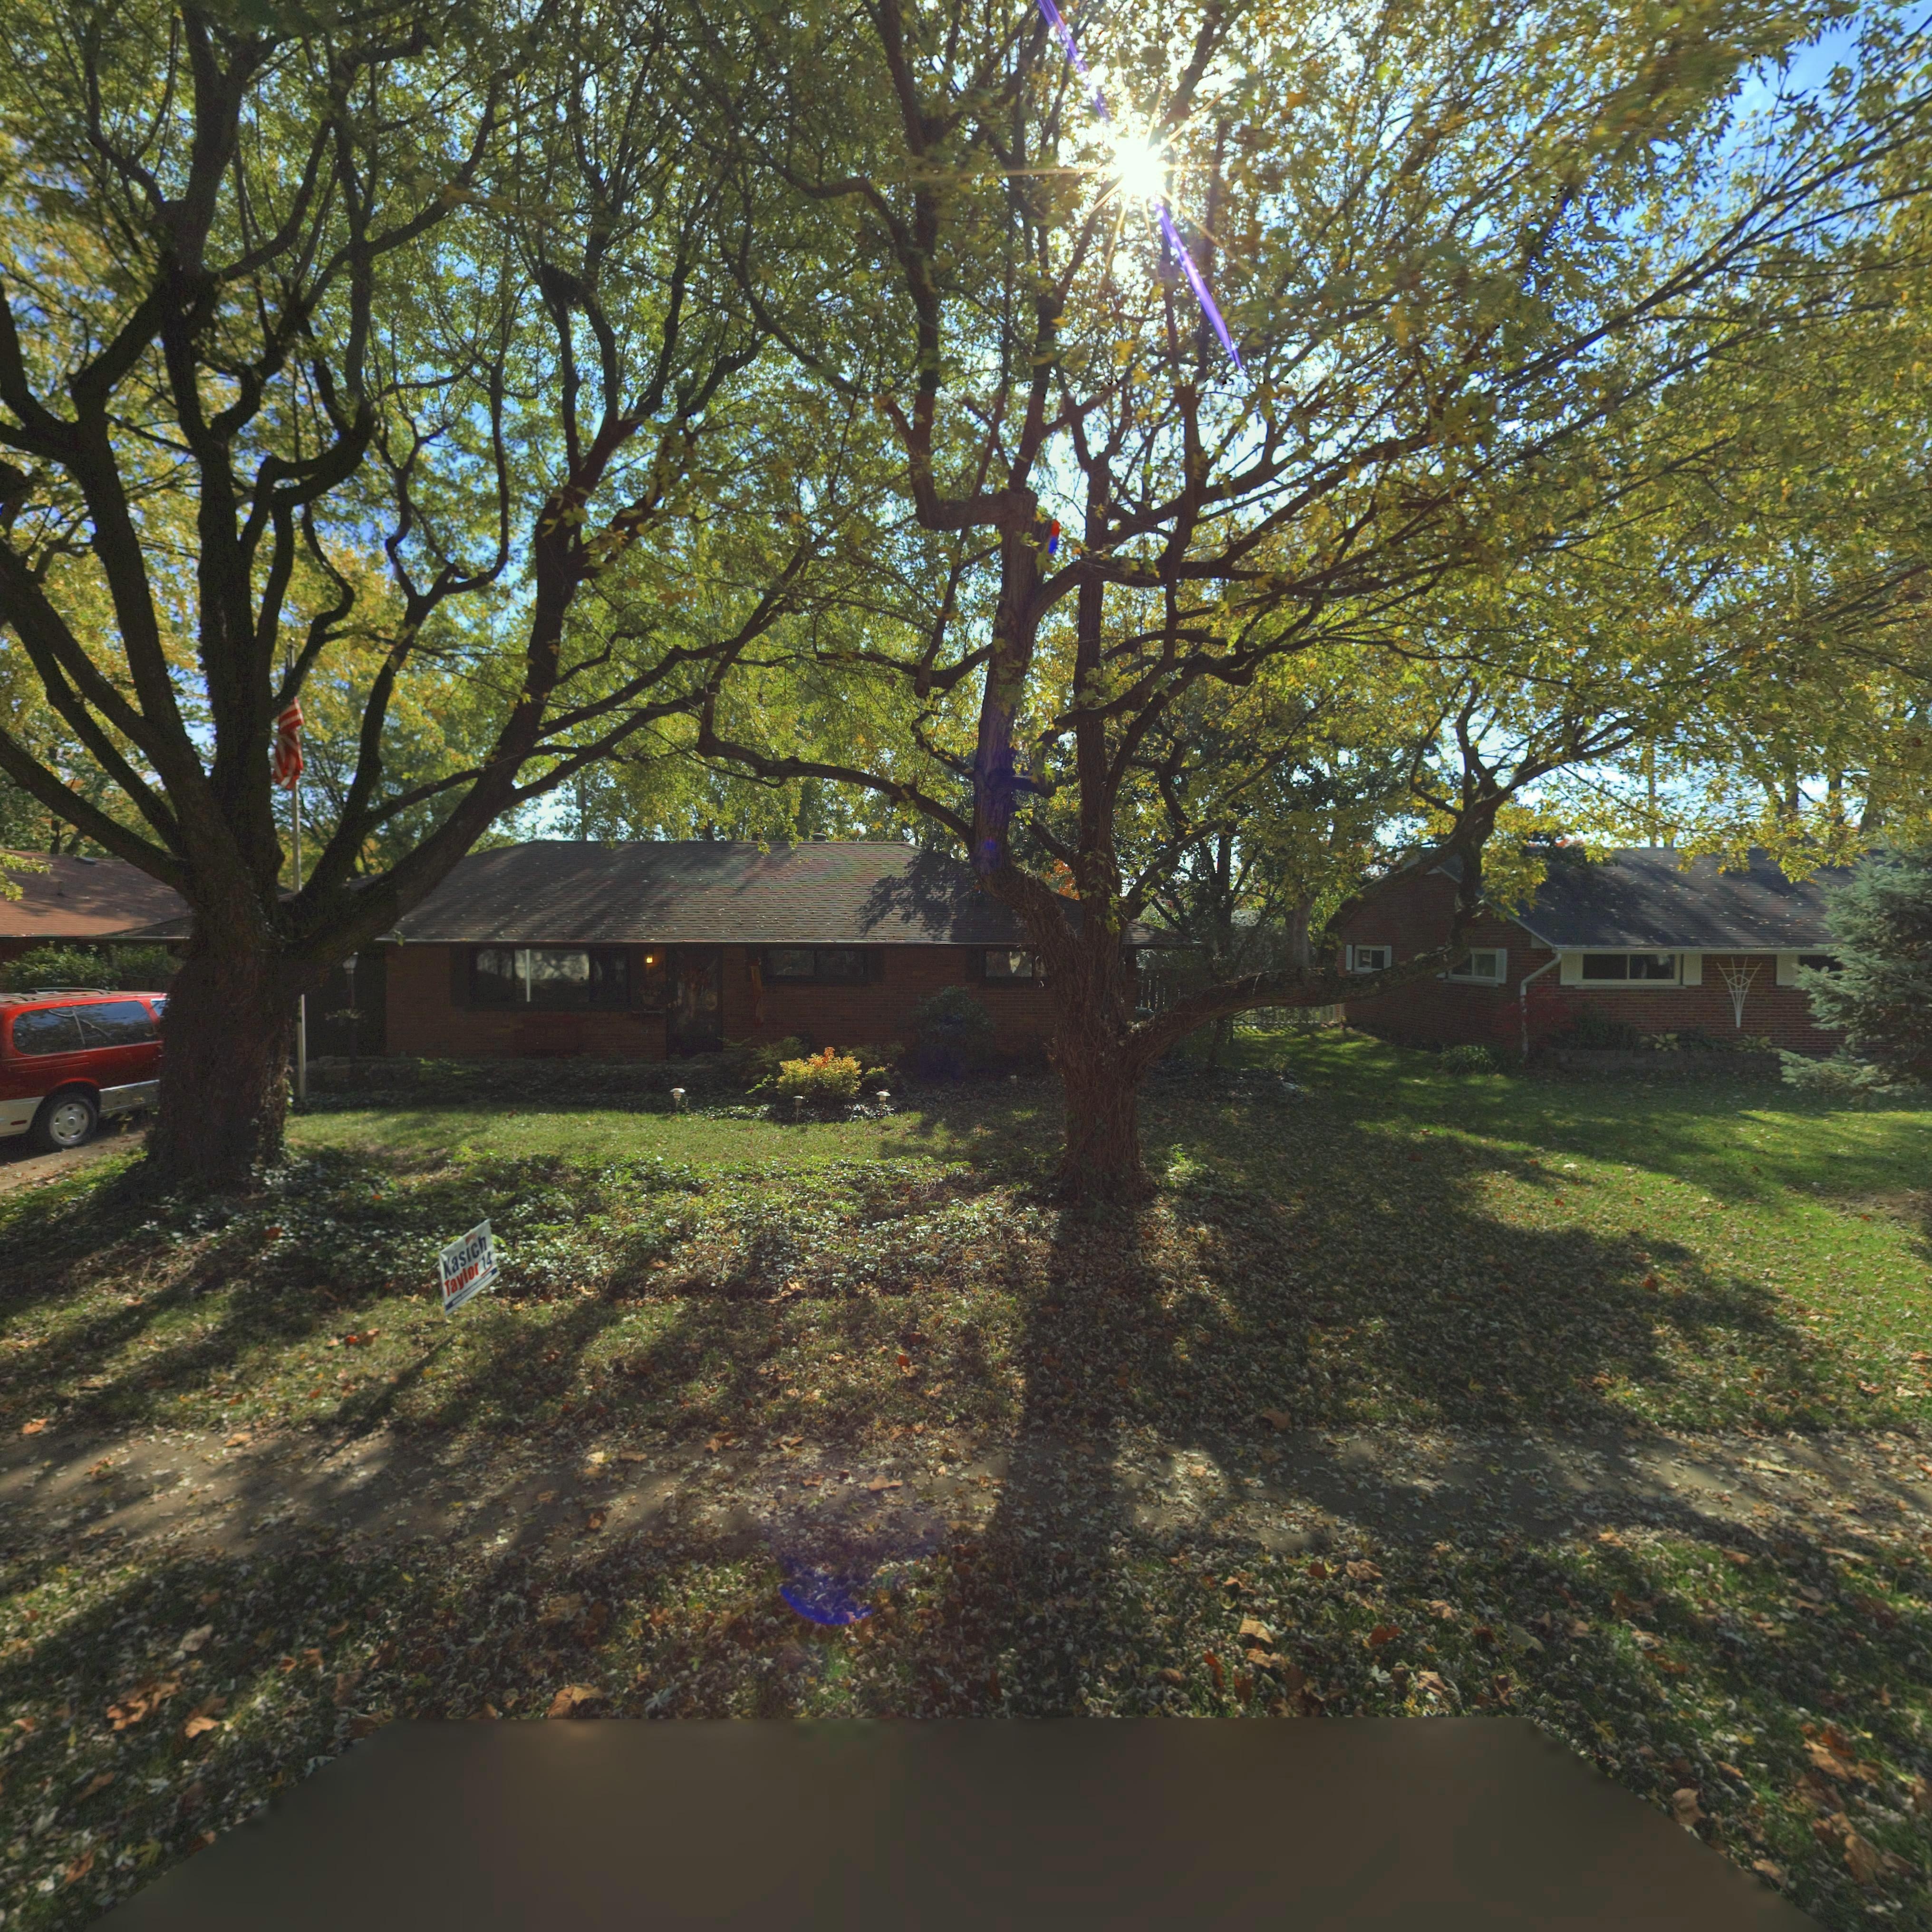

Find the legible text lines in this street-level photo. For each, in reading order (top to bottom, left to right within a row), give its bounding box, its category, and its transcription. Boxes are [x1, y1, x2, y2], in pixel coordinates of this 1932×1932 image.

[440, 1233, 489, 1282] None: Kasich
[442, 1248, 493, 1299] None: Taylor '14